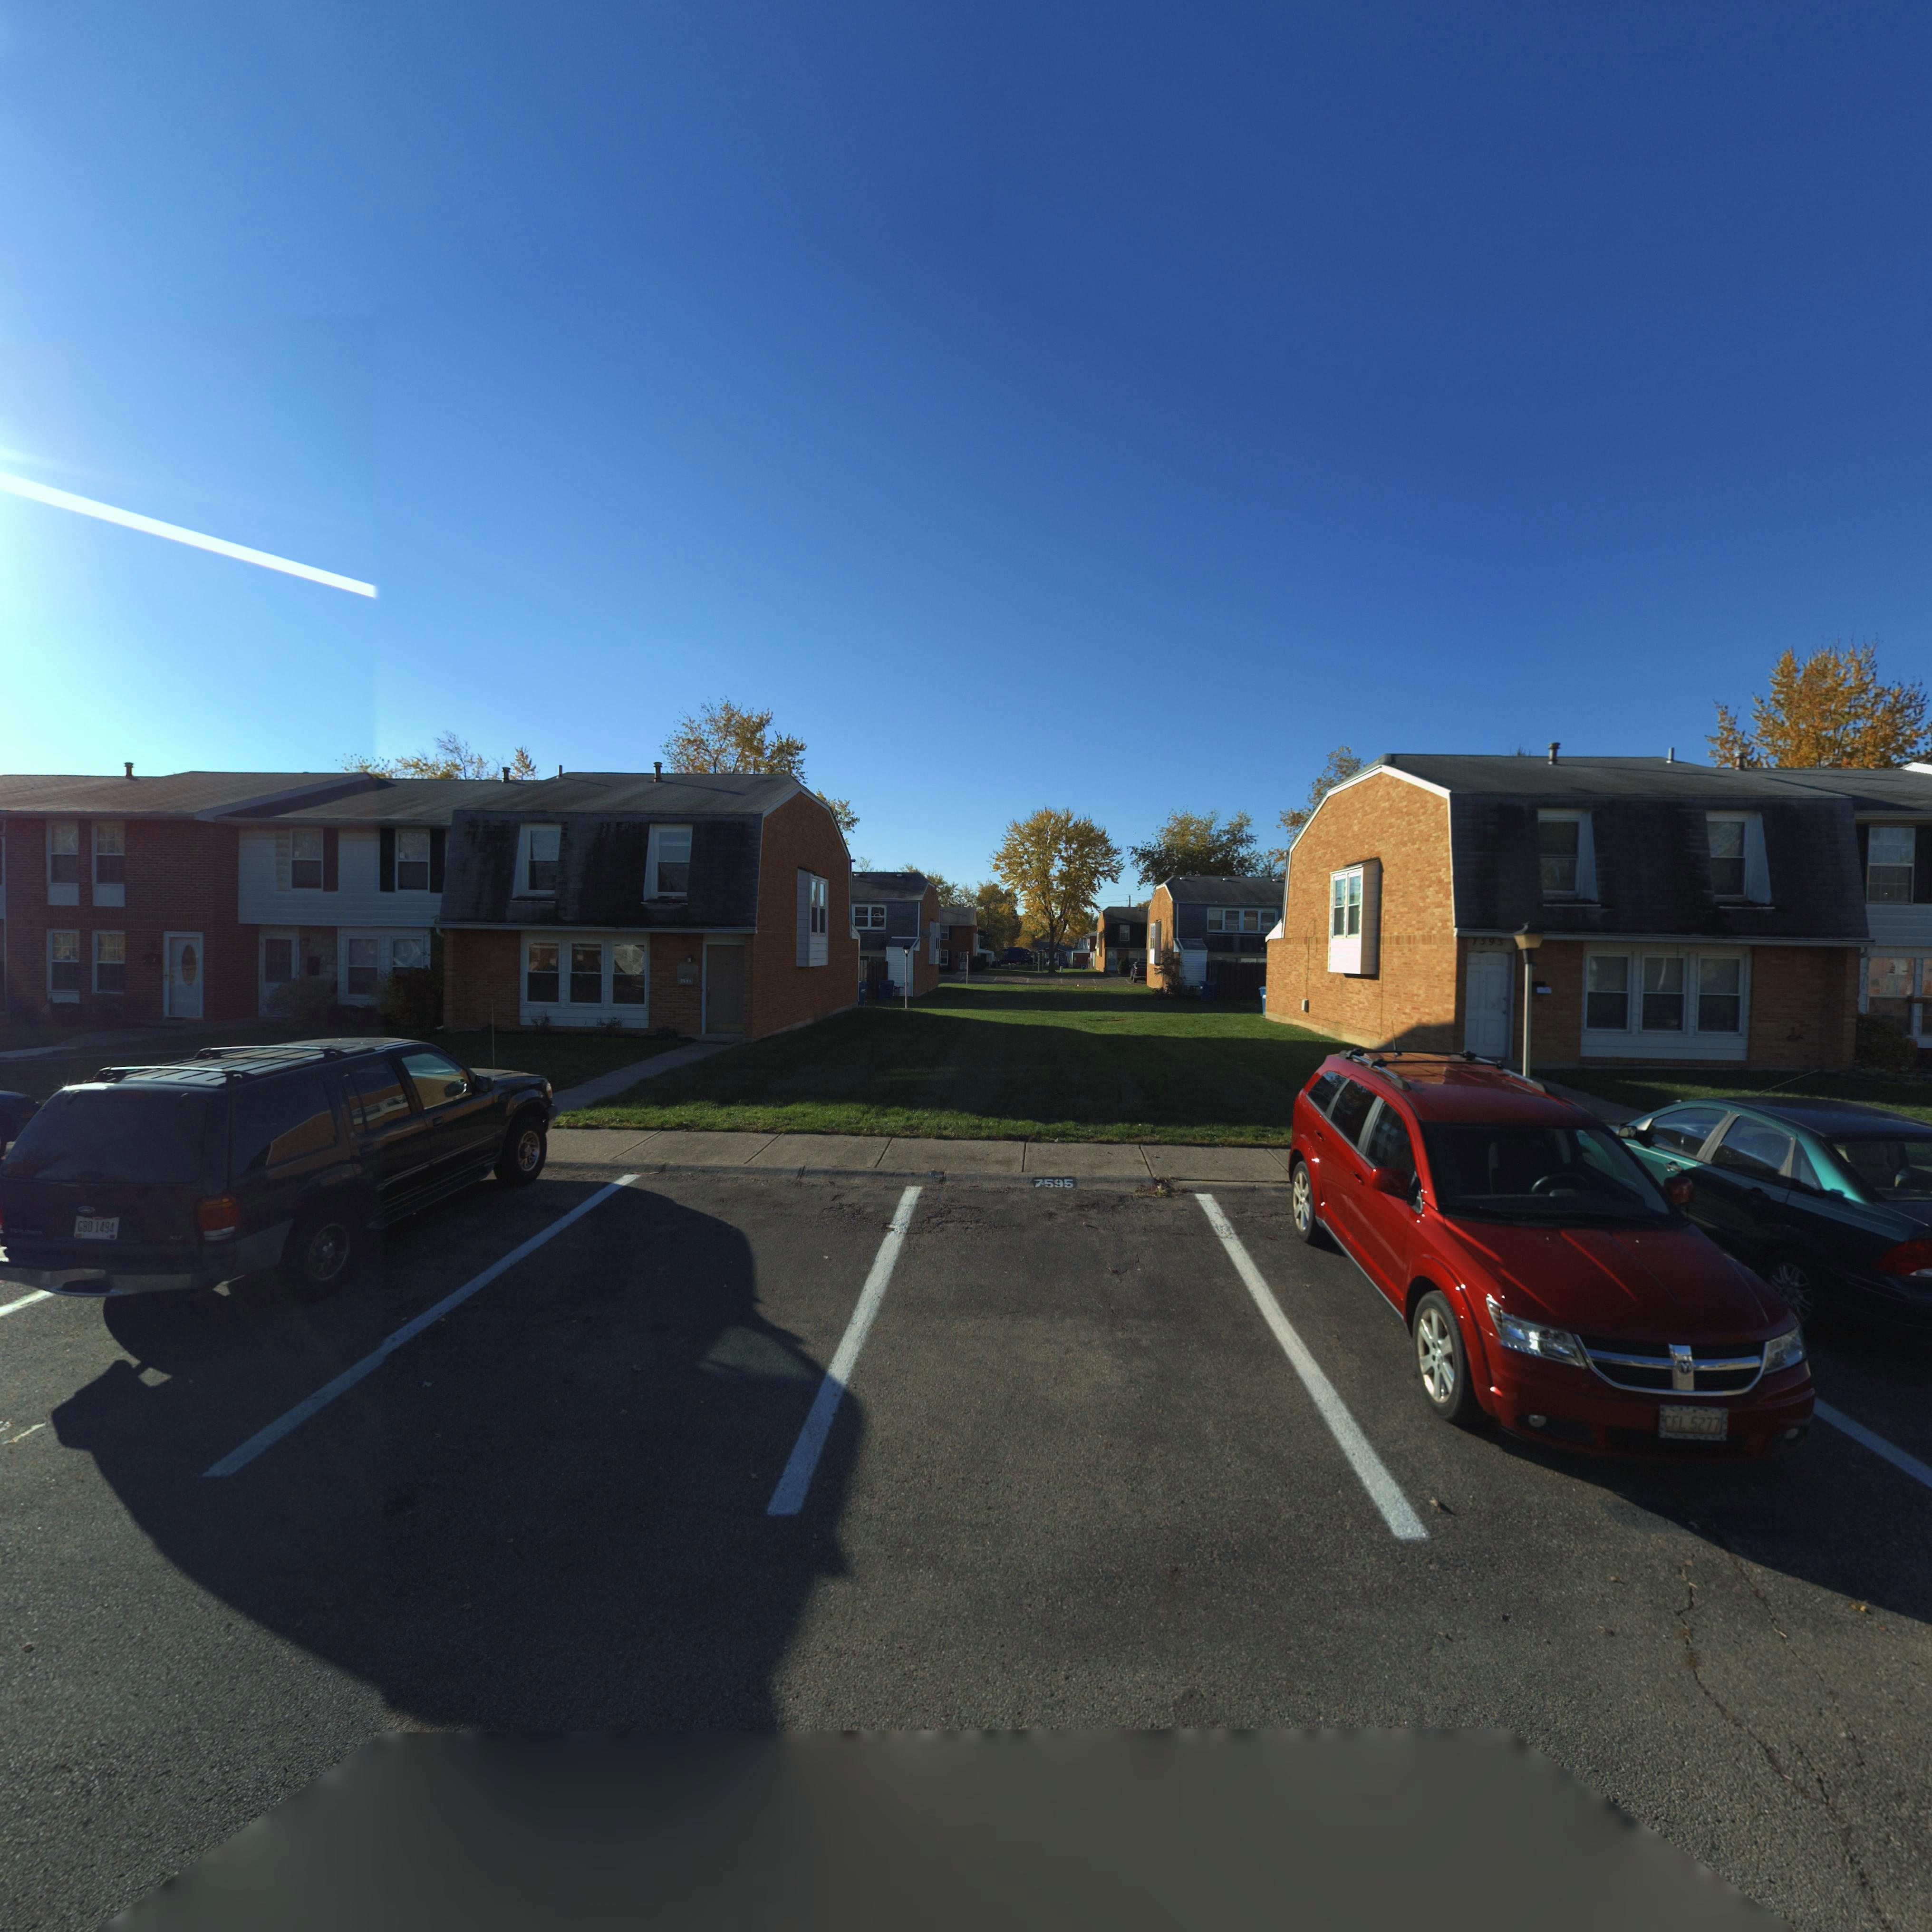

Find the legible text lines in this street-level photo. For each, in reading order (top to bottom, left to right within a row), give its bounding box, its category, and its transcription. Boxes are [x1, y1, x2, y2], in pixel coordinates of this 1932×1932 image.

[270, 925, 293, 934] StreetNumber: 7***
[1471, 937, 1506, 947] StreetNumber: 7595
[680, 979, 692, 984] StreetNumber: 7591
[1033, 1178, 1074, 1188] StreetNumber: 7595
[0, 1421, 48, 1447] StreetNumber: 1